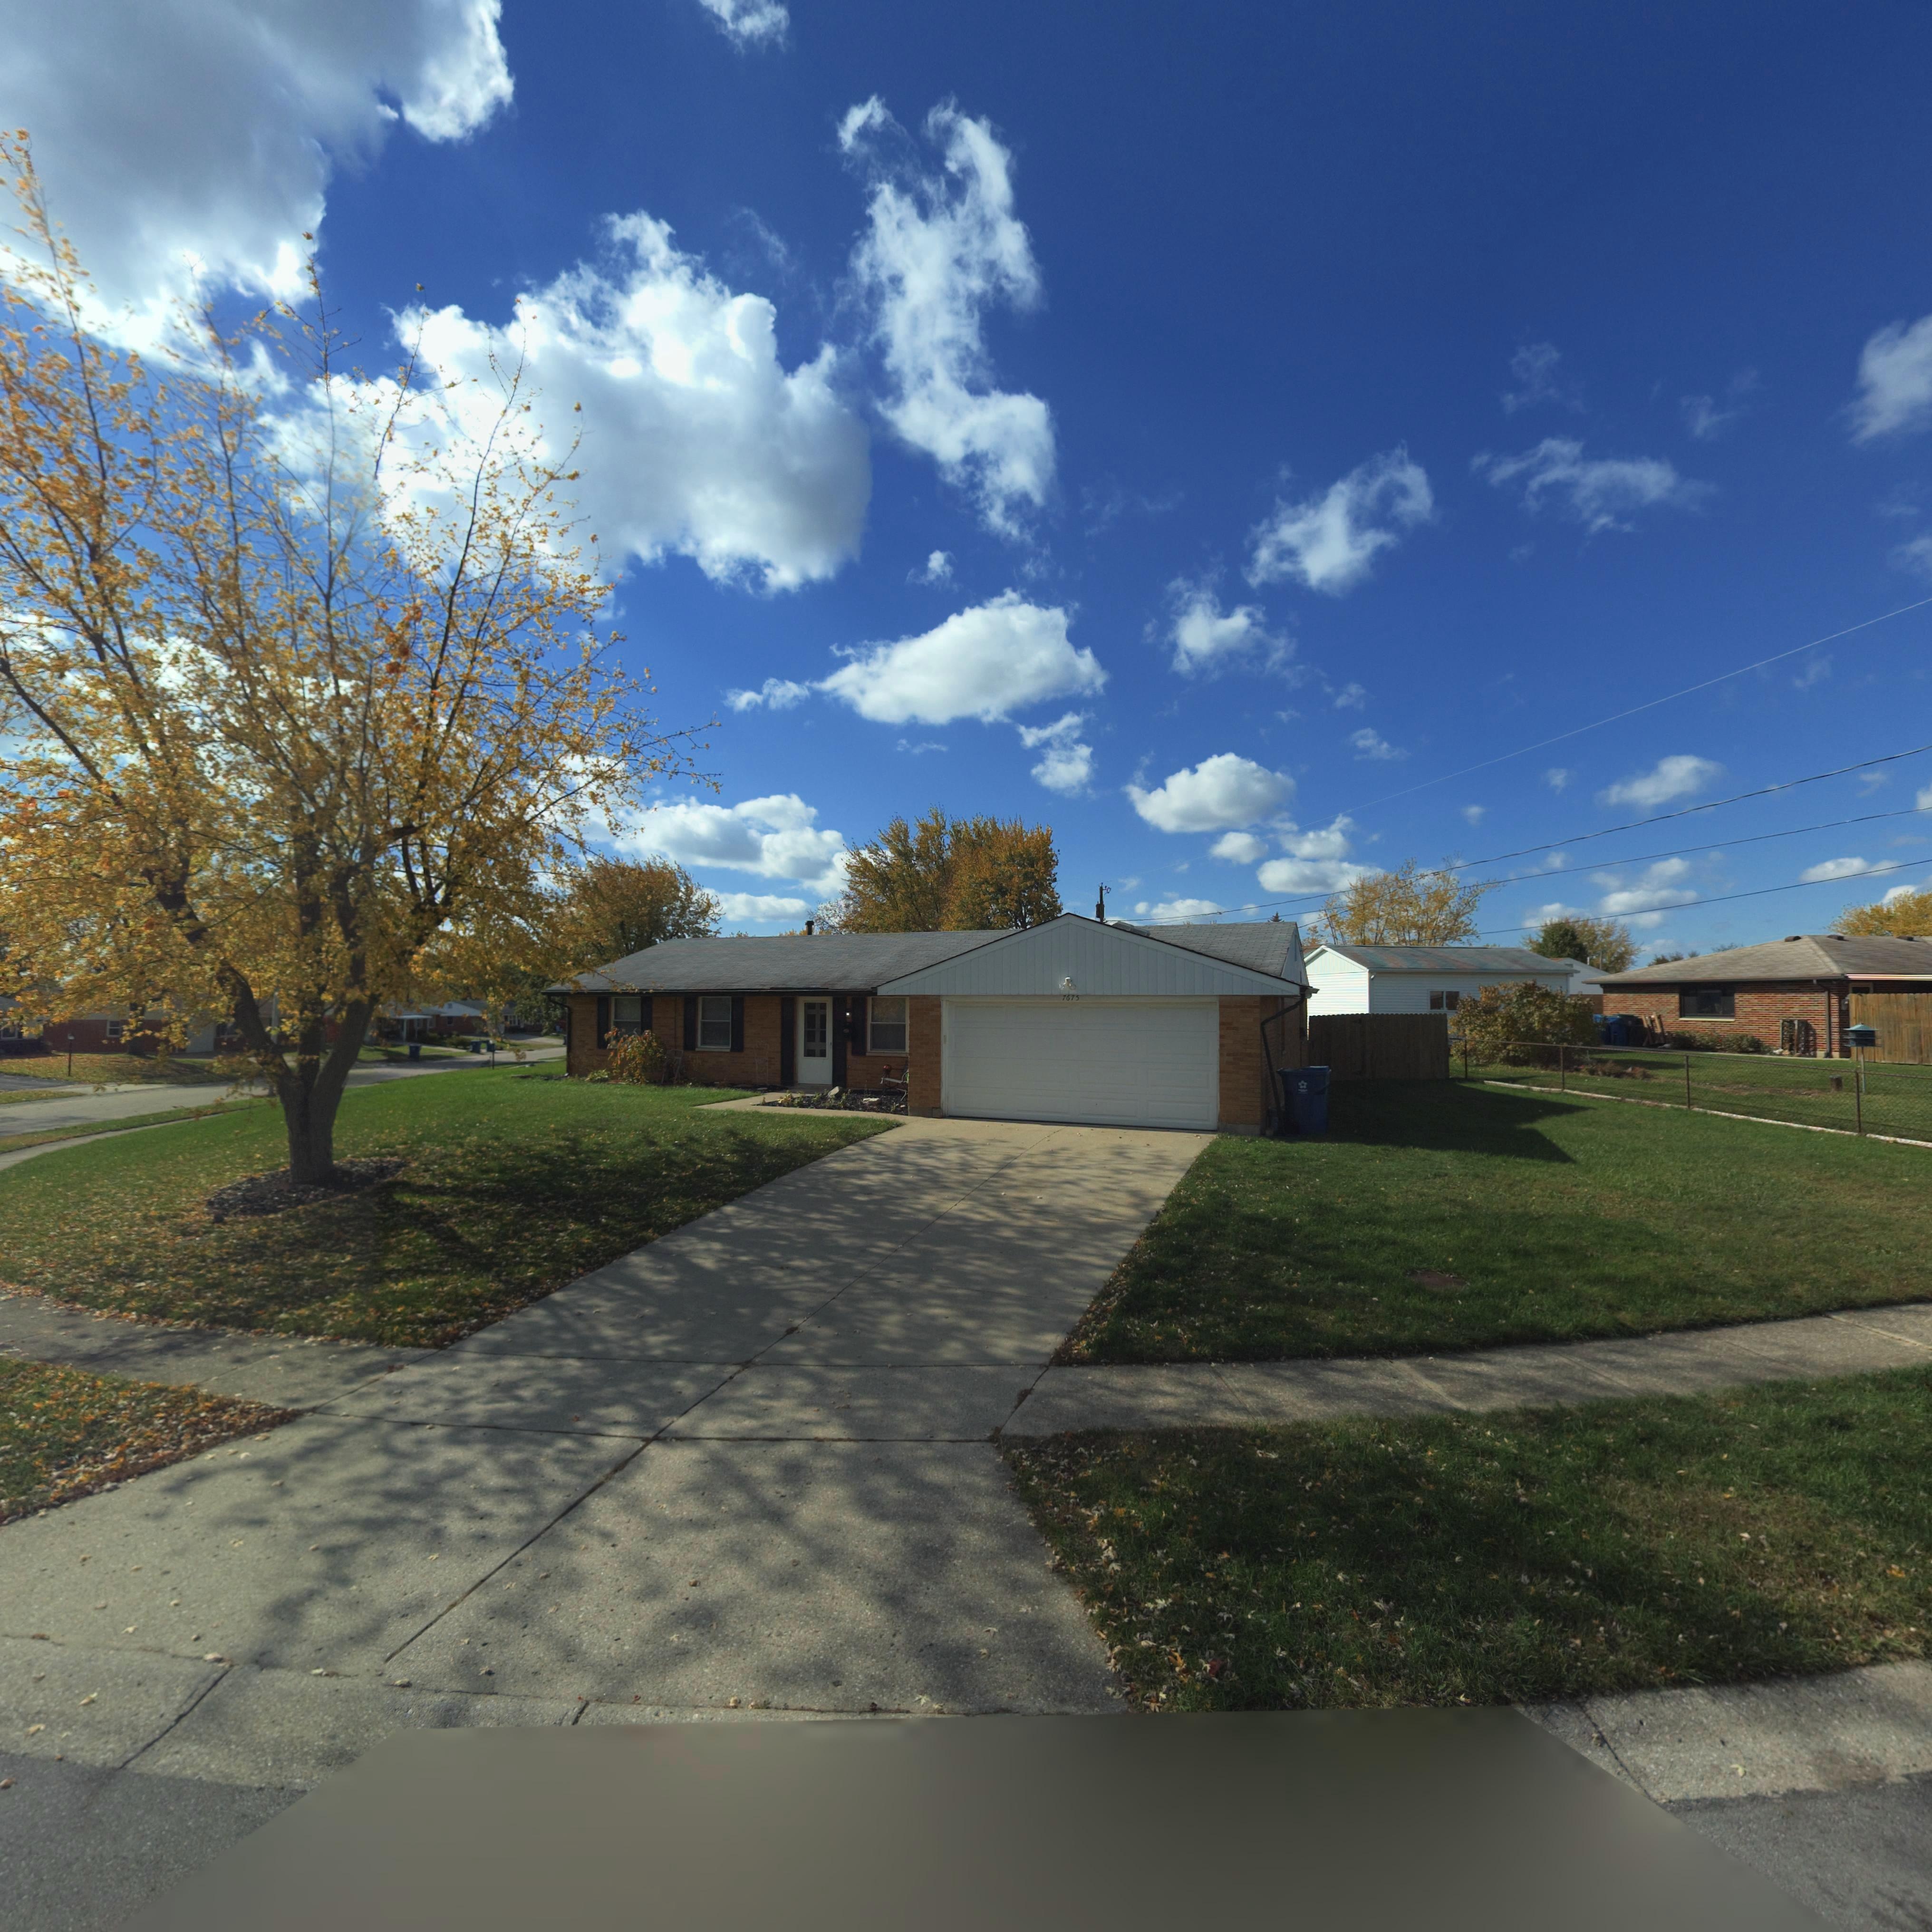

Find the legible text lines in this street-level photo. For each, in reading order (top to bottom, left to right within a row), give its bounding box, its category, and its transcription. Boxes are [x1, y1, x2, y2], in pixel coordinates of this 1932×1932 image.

[1062, 995, 1080, 1001] StreetNumber: 7675